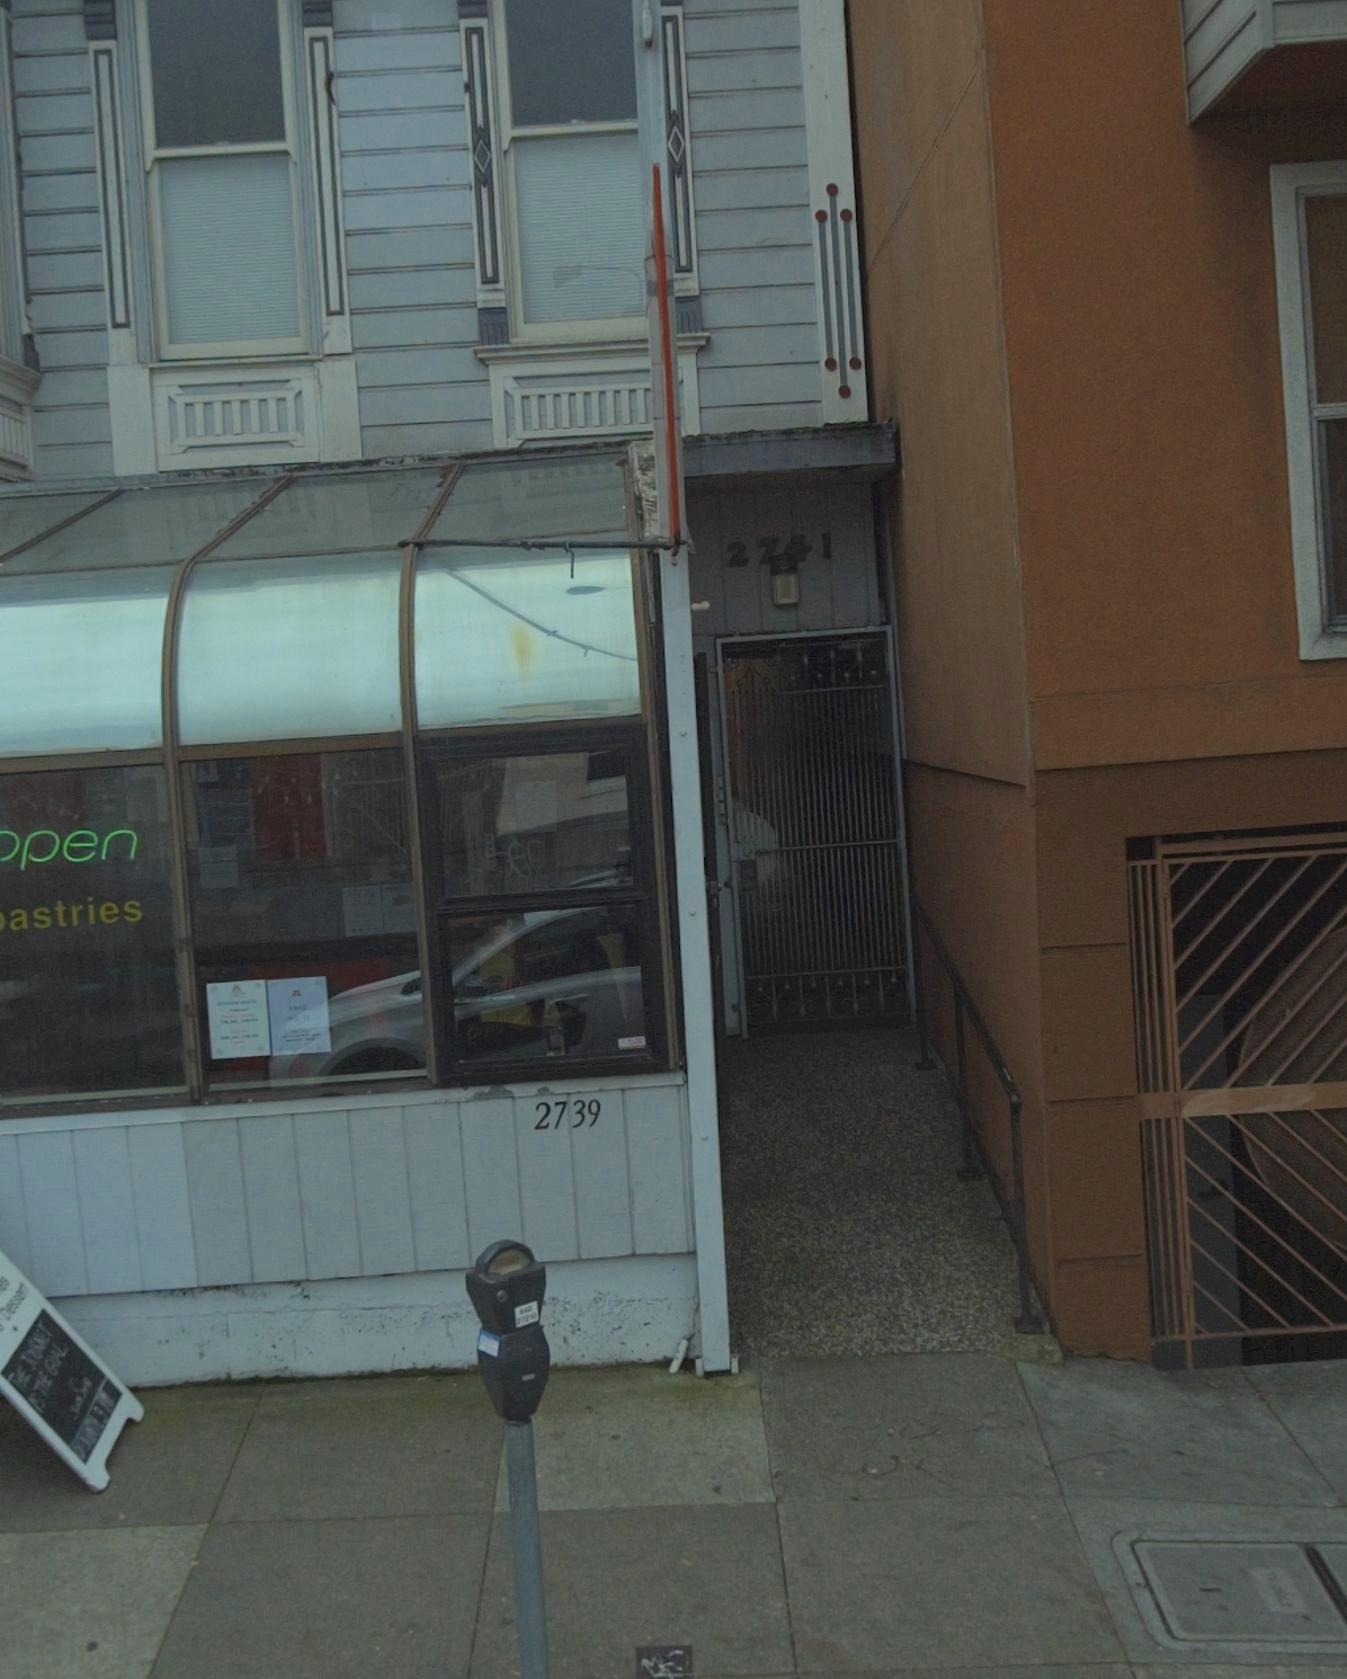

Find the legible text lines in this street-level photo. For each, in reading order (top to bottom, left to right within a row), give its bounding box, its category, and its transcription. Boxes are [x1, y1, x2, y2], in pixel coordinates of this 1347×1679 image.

[725, 529, 833, 570] StreetNumber: 2741
[18, 827, 140, 874] None: pen
[7, 895, 142, 934] None: astries
[532, 1097, 602, 1132] StreetNumber: 2739
[0, 1279, 32, 1322] None: Dessert
[24, 1339, 72, 1419] None: IS THE GOAL